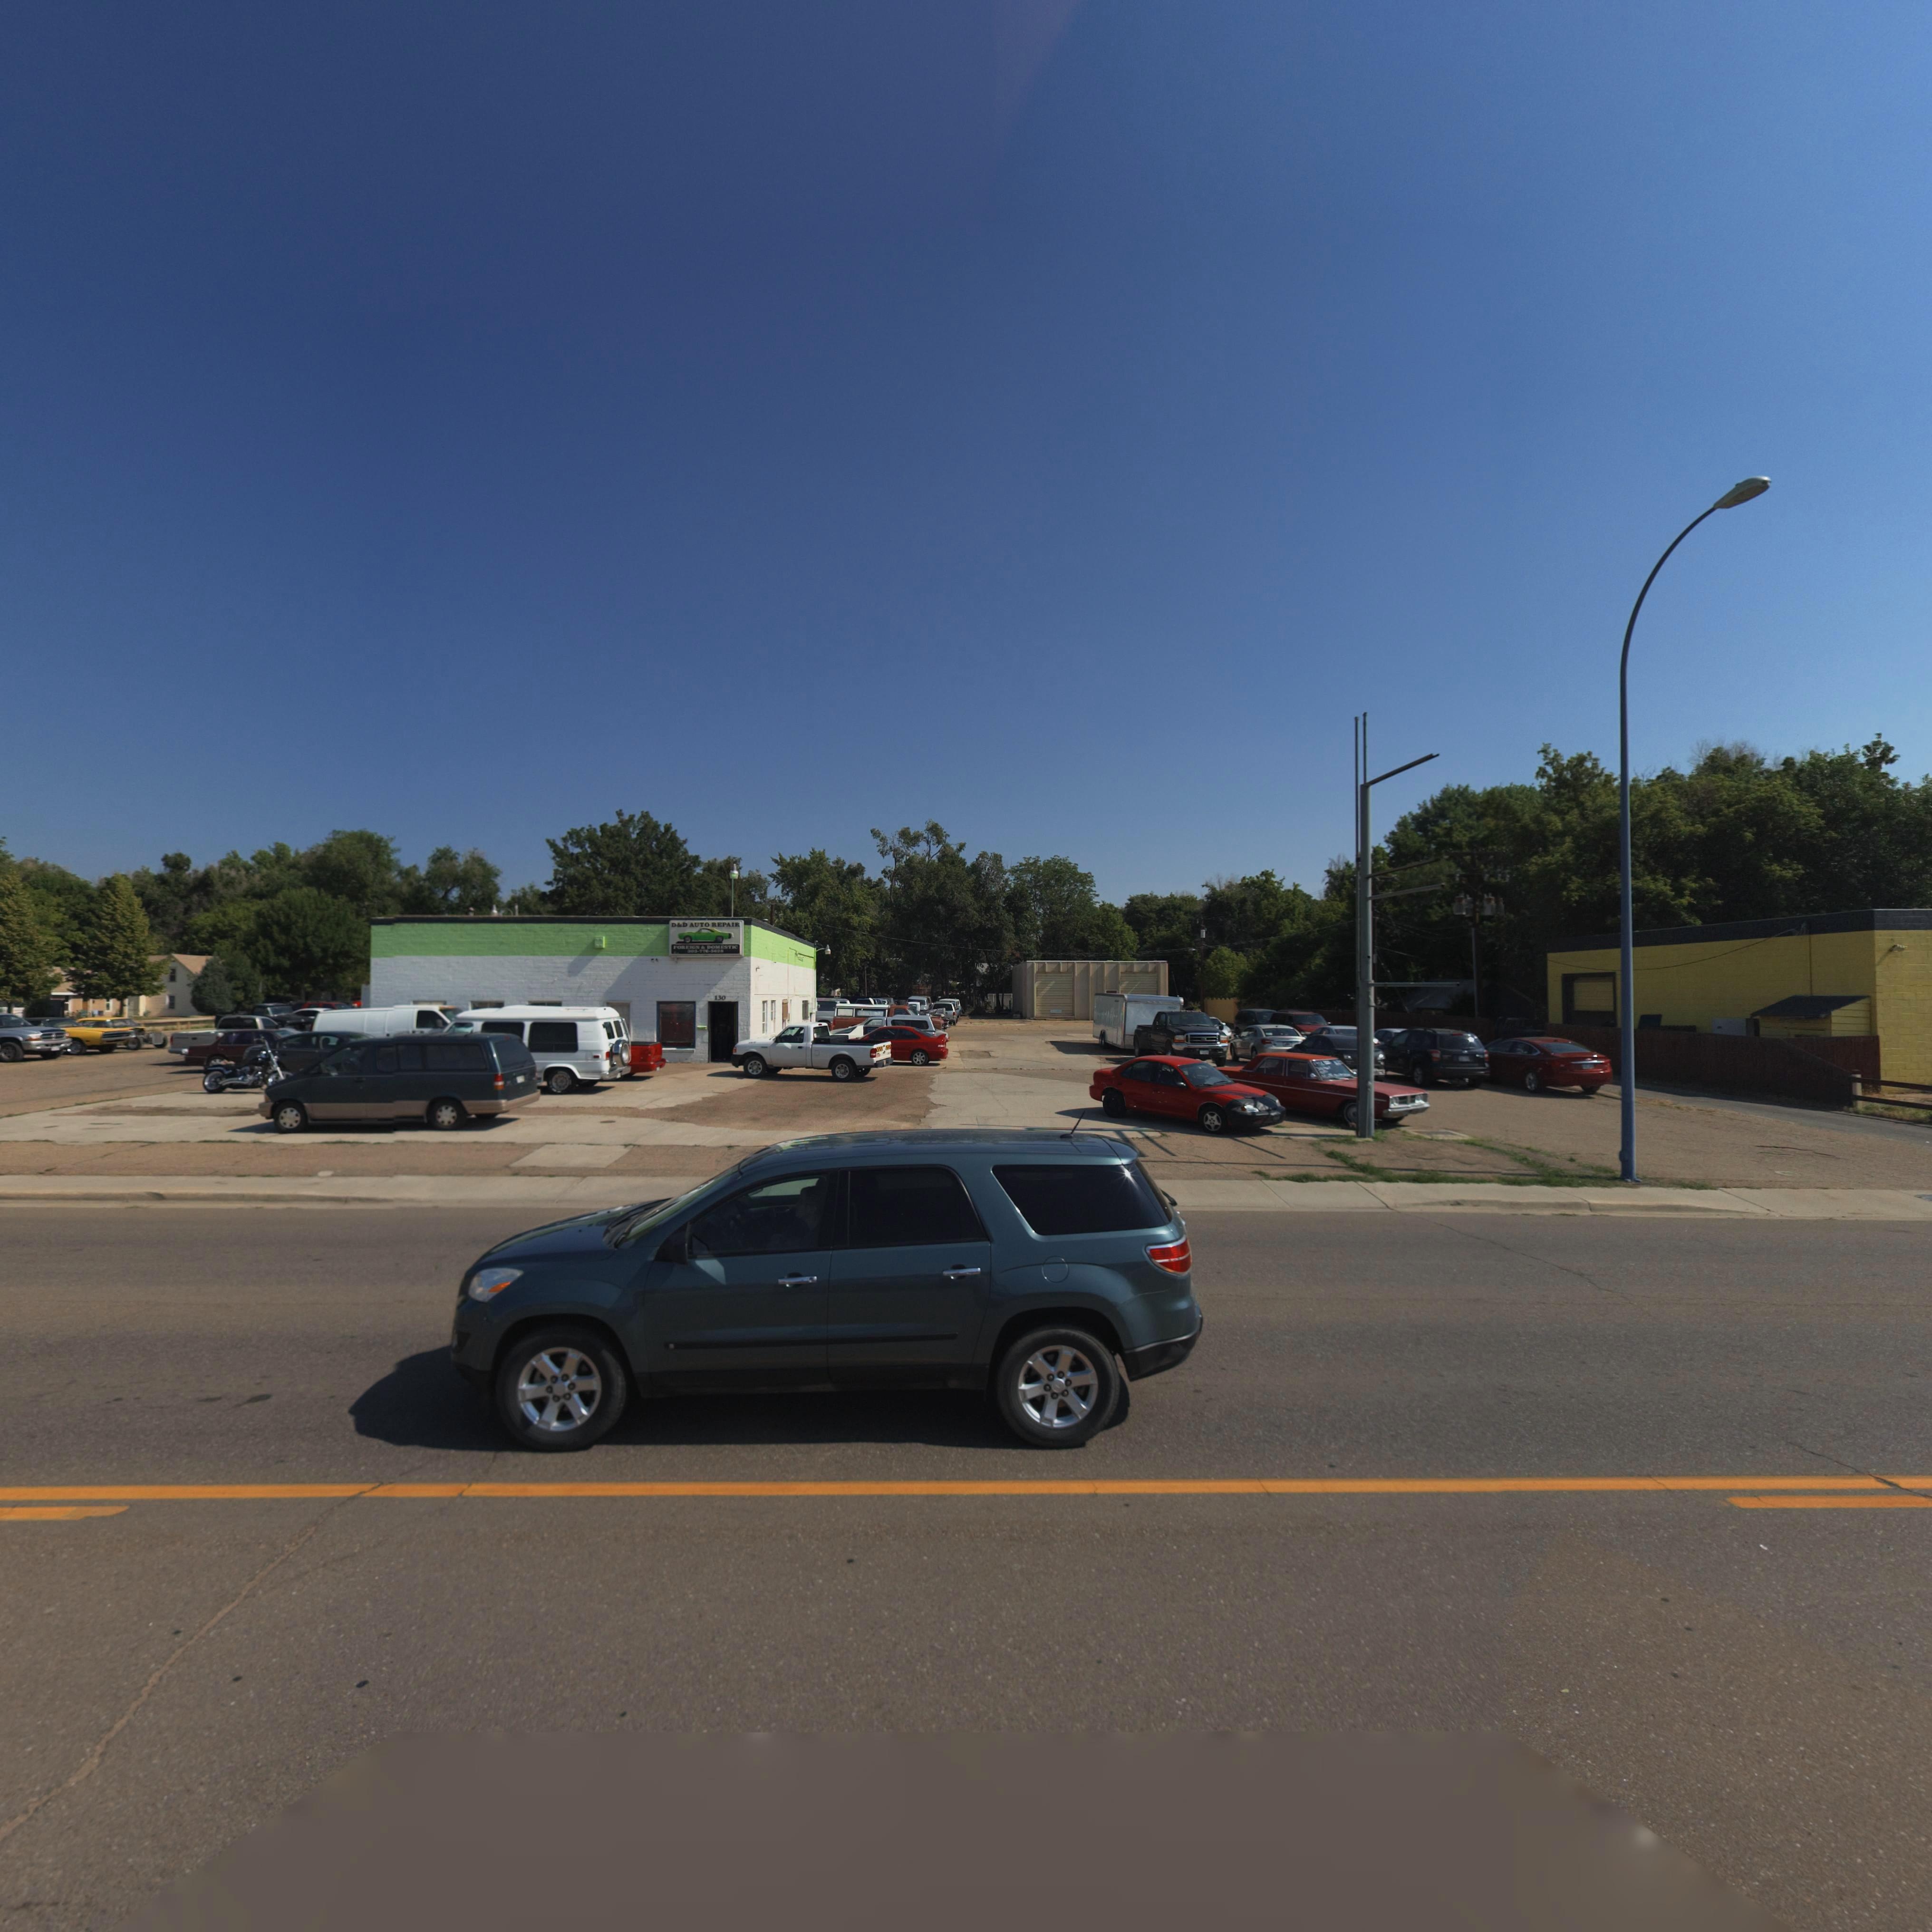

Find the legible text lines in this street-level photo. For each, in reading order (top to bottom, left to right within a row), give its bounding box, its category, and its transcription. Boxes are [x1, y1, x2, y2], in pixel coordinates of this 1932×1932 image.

[671, 922, 740, 927] BusinessName: D&D AUTO REPAIR
[714, 995, 725, 1000] StreetNumber: 130